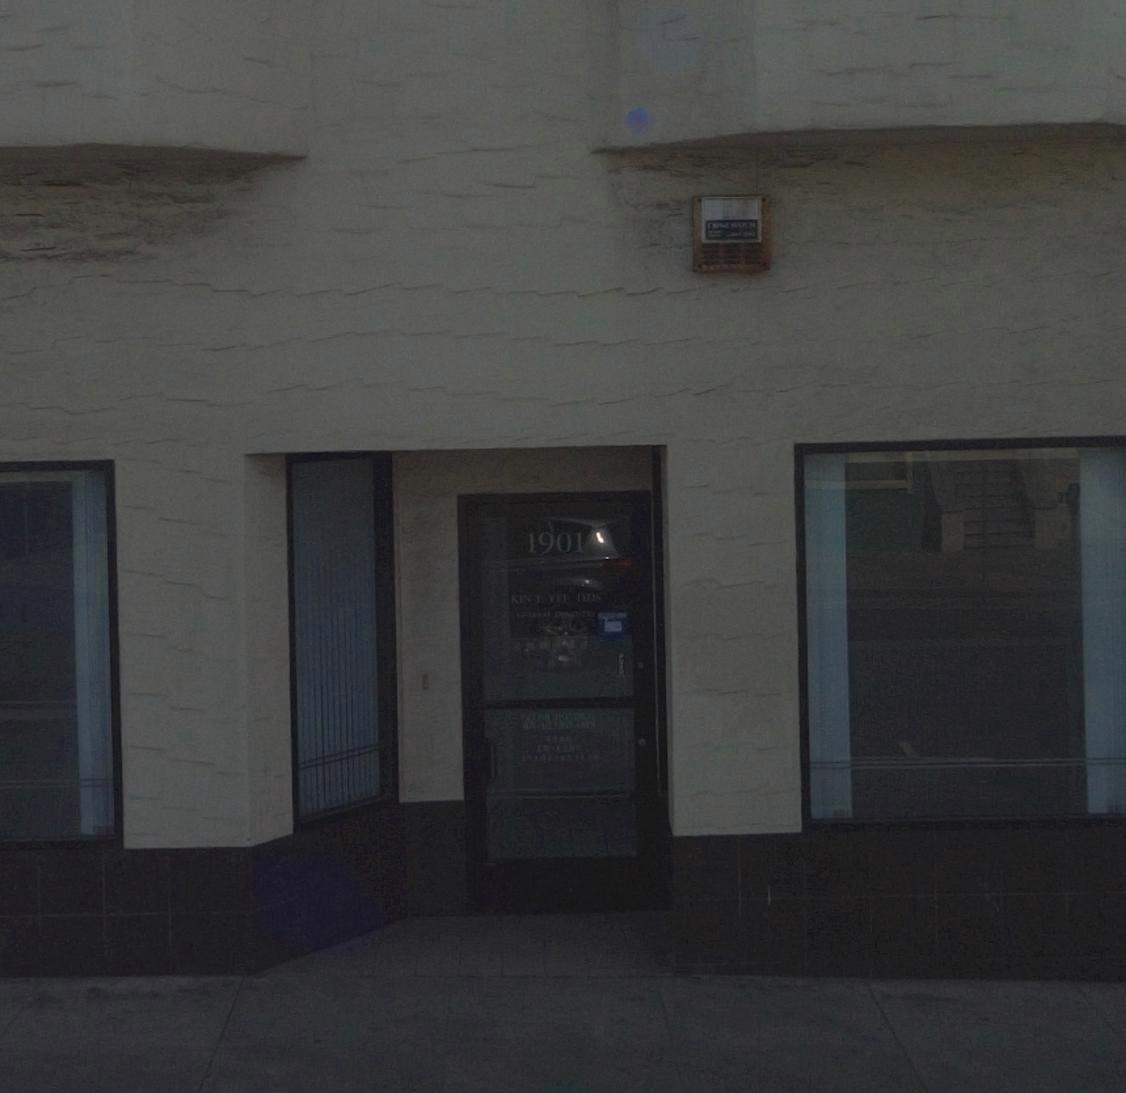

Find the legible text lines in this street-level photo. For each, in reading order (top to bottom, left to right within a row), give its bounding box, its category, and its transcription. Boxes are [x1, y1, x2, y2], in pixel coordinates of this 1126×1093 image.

[526, 530, 586, 558] StreetNumber: 1901
[509, 591, 603, 605] None: KIN P YEI DDS